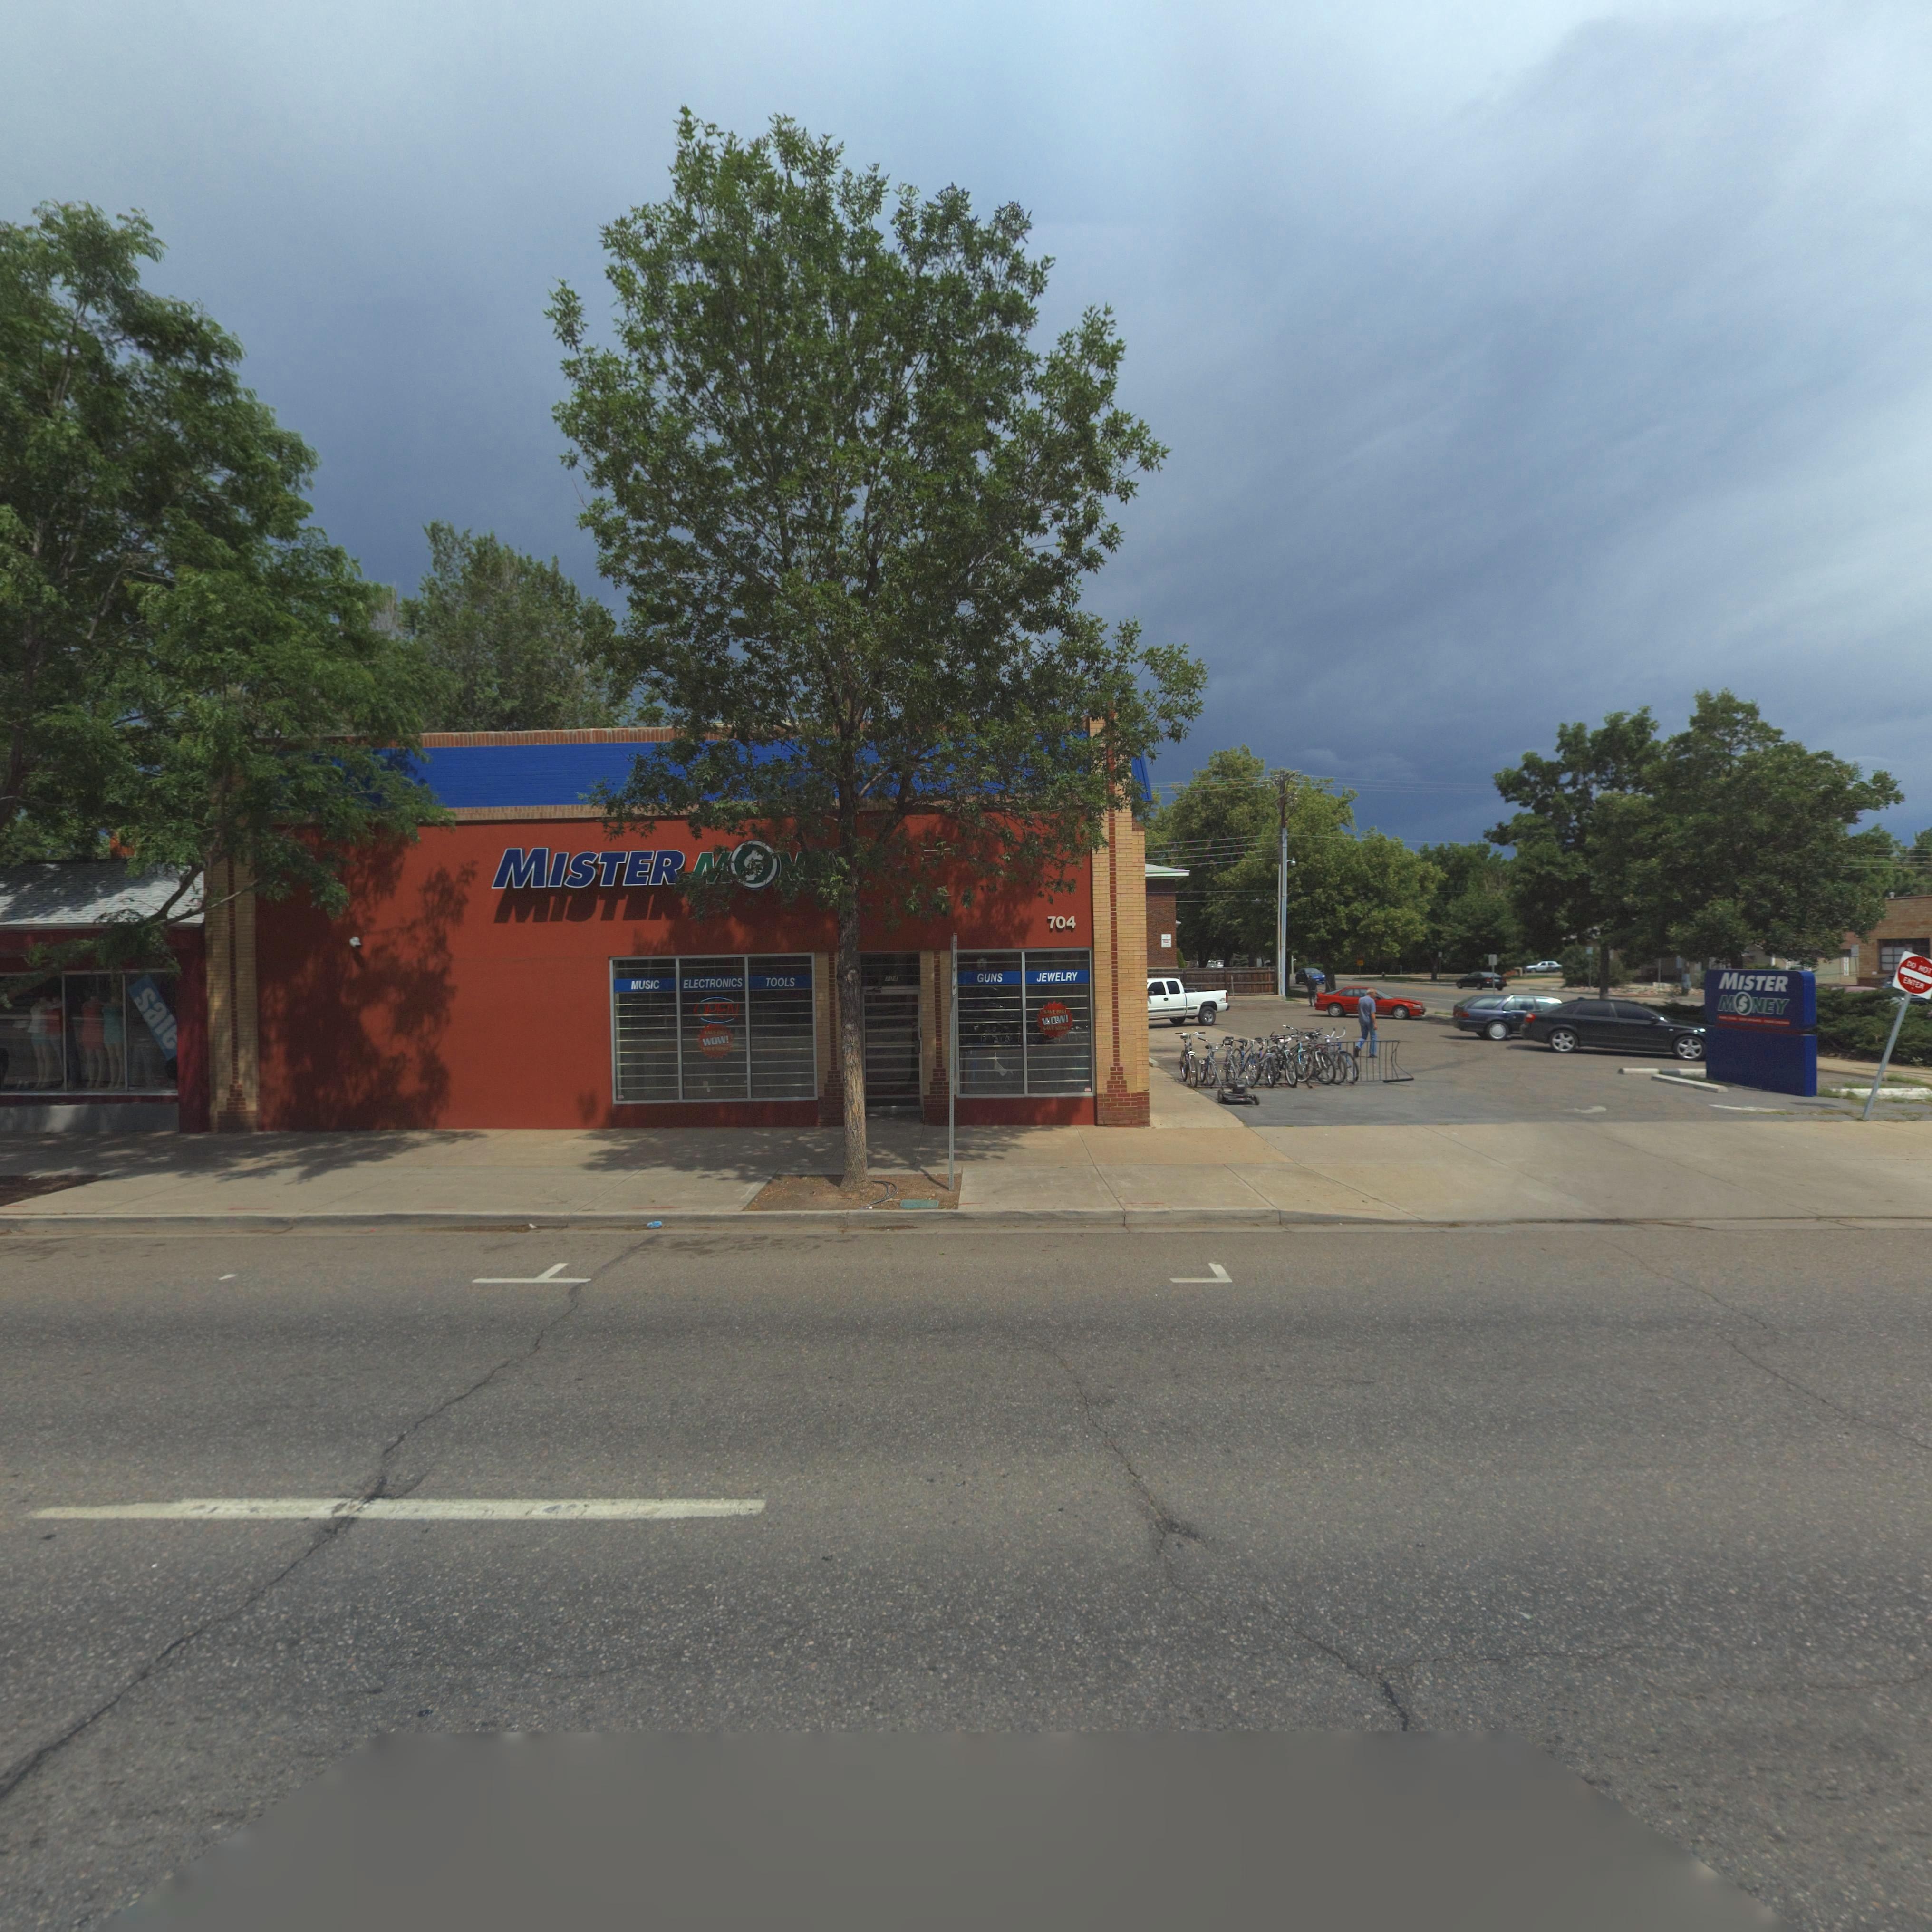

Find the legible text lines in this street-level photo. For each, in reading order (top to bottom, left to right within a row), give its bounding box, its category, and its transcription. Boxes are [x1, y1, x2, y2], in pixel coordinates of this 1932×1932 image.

[491, 846, 809, 889] BusinessName: MISTER ***
[1047, 915, 1076, 929] StreetNumber: 704
[885, 976, 898, 980] StreetNumber: 704
[1717, 971, 1789, 992] BusinessName: MISTER
[1717, 994, 1790, 1014] BusinessName: M*NEY